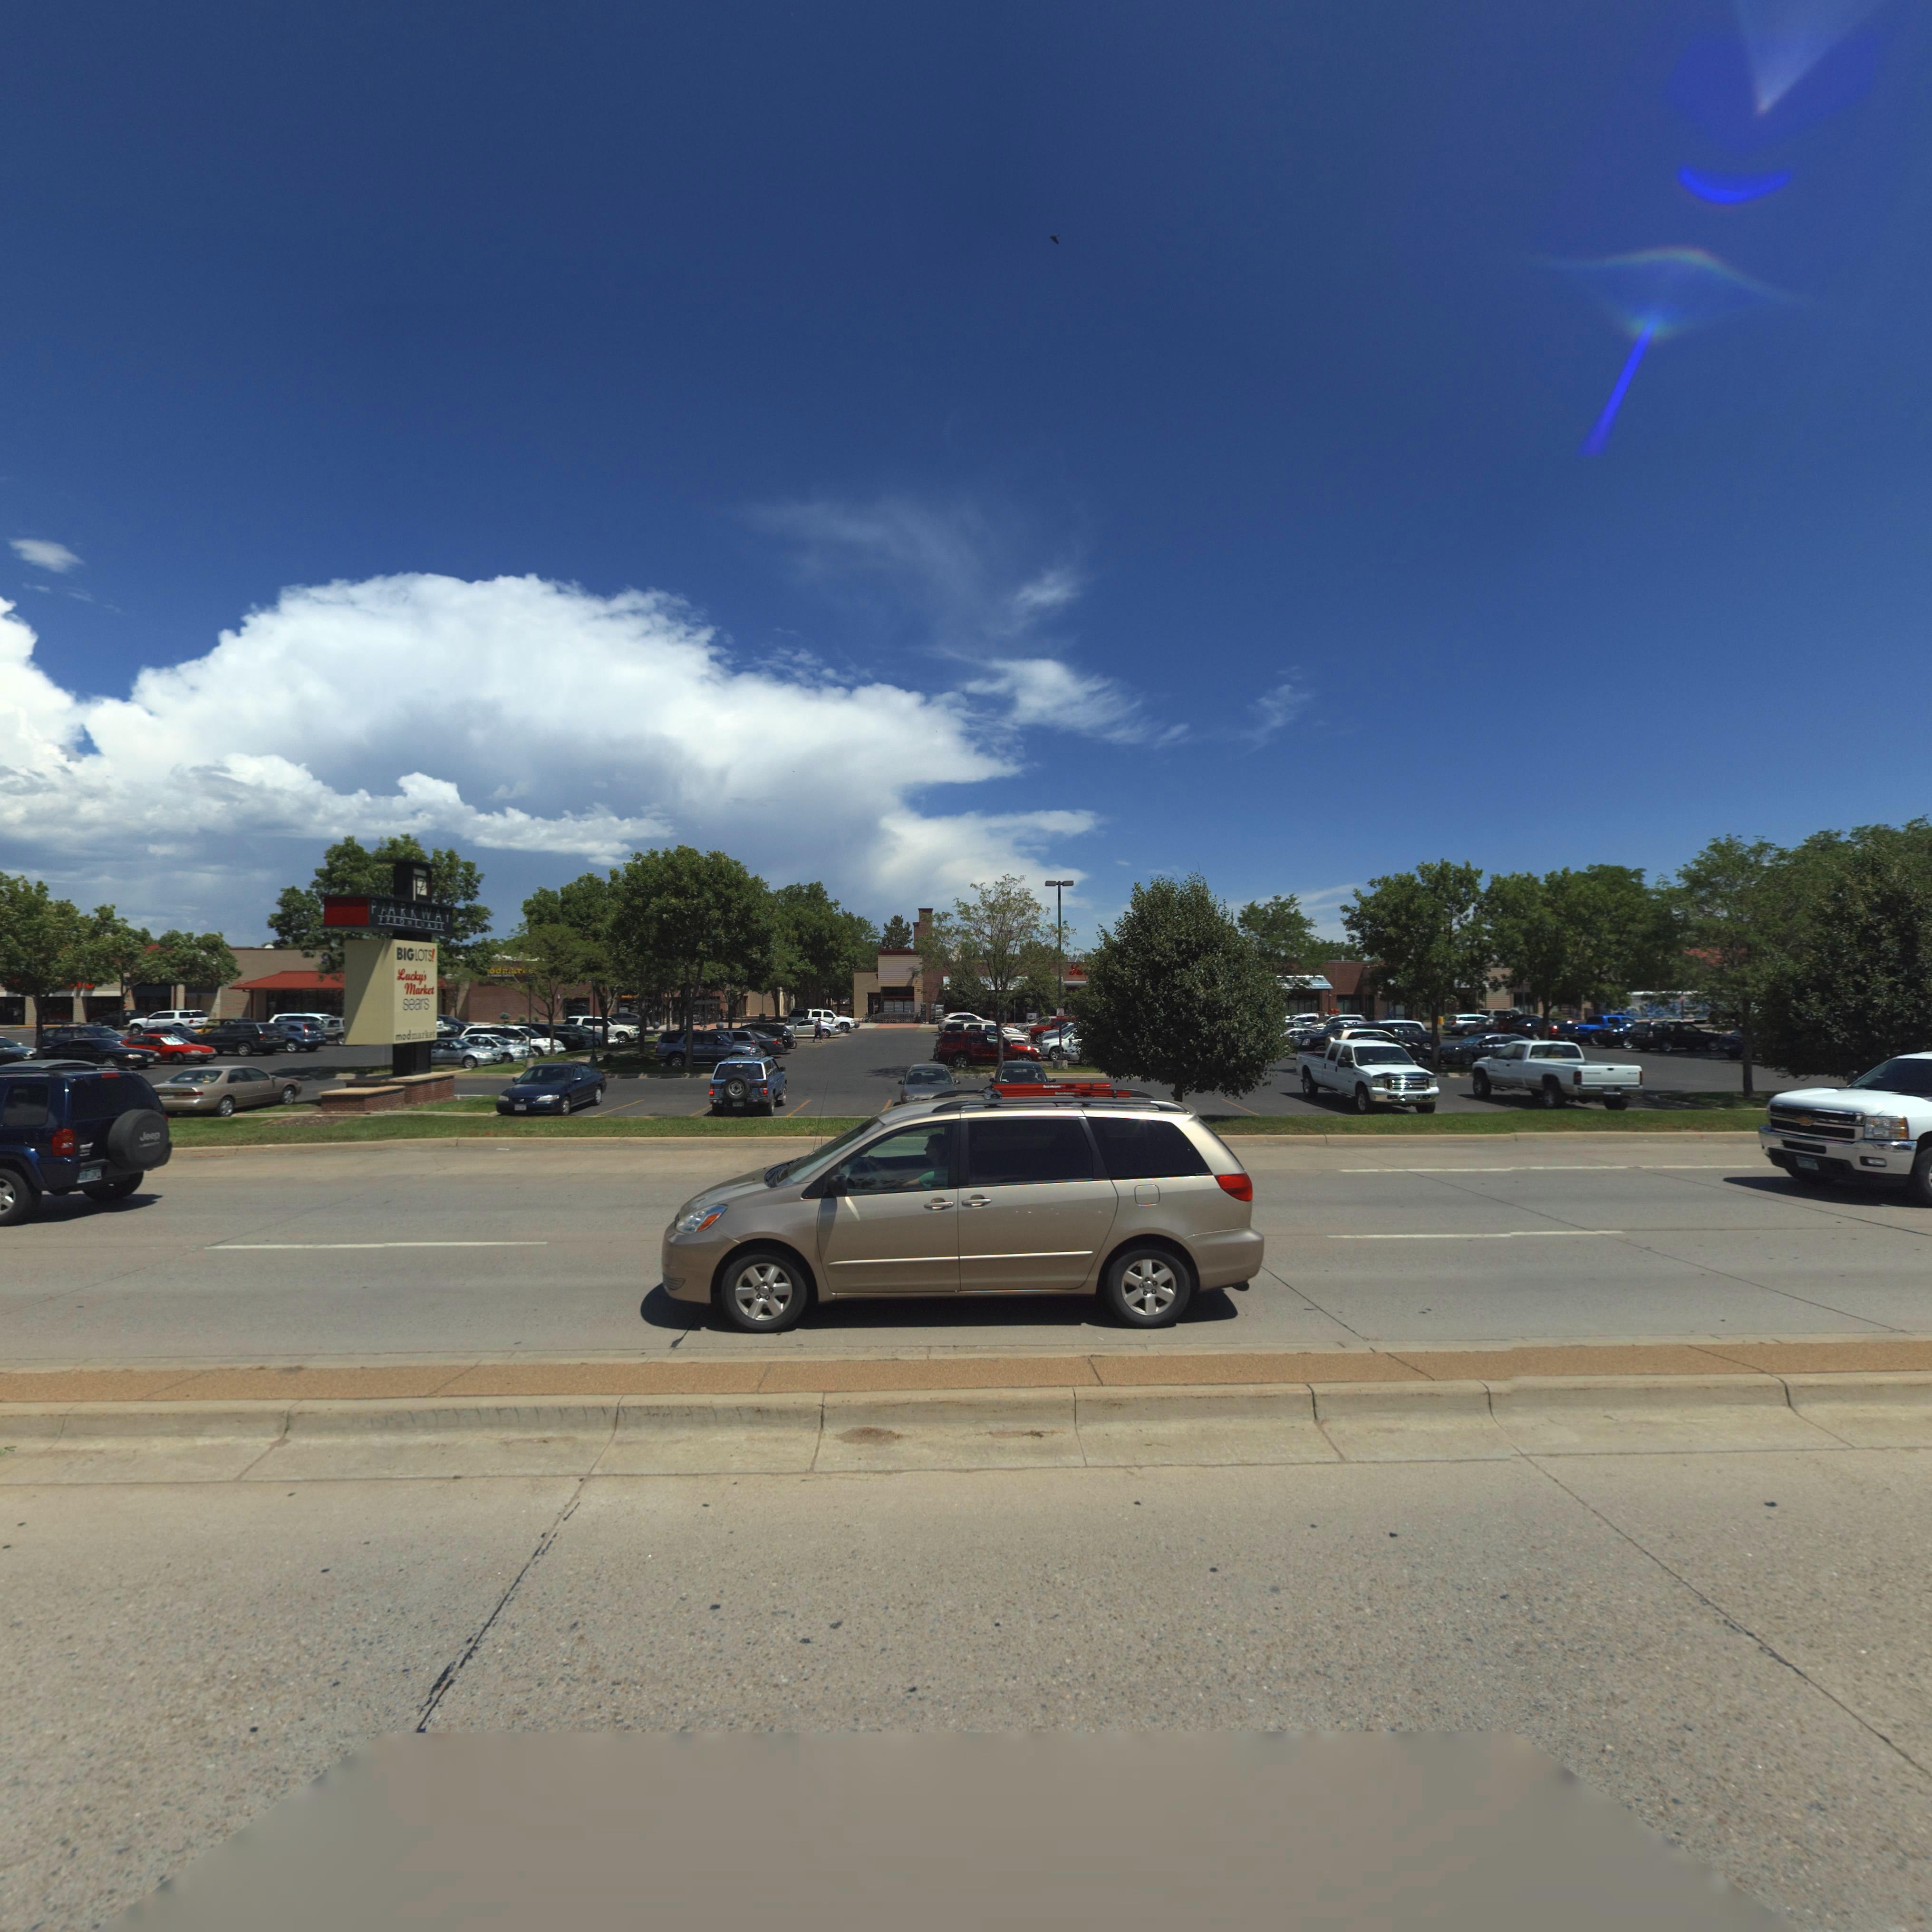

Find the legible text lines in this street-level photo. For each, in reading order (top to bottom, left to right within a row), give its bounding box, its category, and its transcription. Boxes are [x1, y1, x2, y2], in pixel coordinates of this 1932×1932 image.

[378, 916, 444, 930] None: x*
[396, 947, 436, 963] BusinessName: BIG LOTS!
[396, 967, 427, 985] BusinessName: Lucky's
[489, 968, 523, 974] BusinessName: od*ar
[404, 982, 435, 995] BusinessName: Market
[402, 998, 430, 1011] BusinessName: sears
[395, 1029, 436, 1041] BusinessName: modmarket